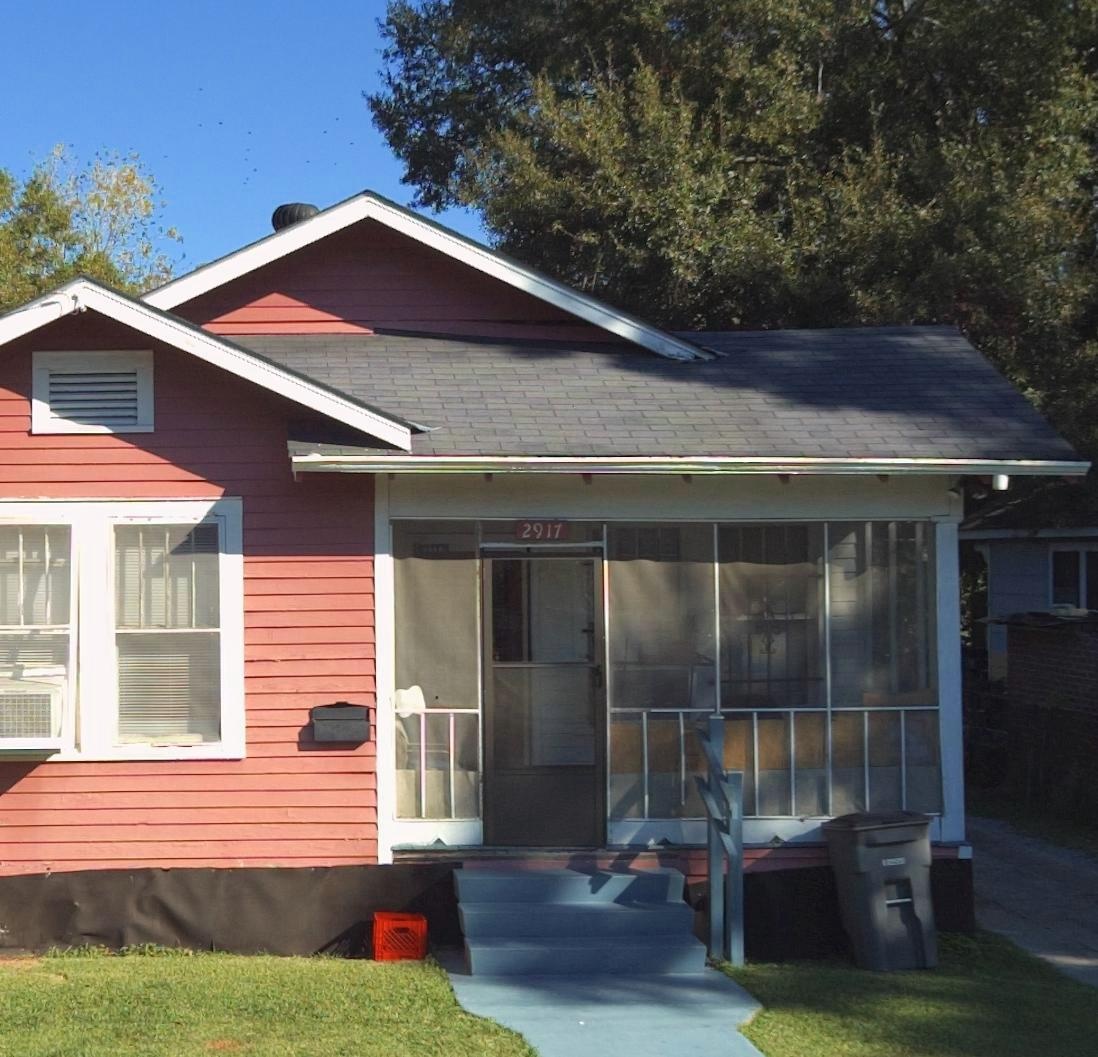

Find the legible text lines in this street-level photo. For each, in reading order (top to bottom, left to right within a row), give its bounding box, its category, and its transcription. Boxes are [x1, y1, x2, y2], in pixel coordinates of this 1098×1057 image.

[519, 521, 564, 541] StreetNumber: 2917